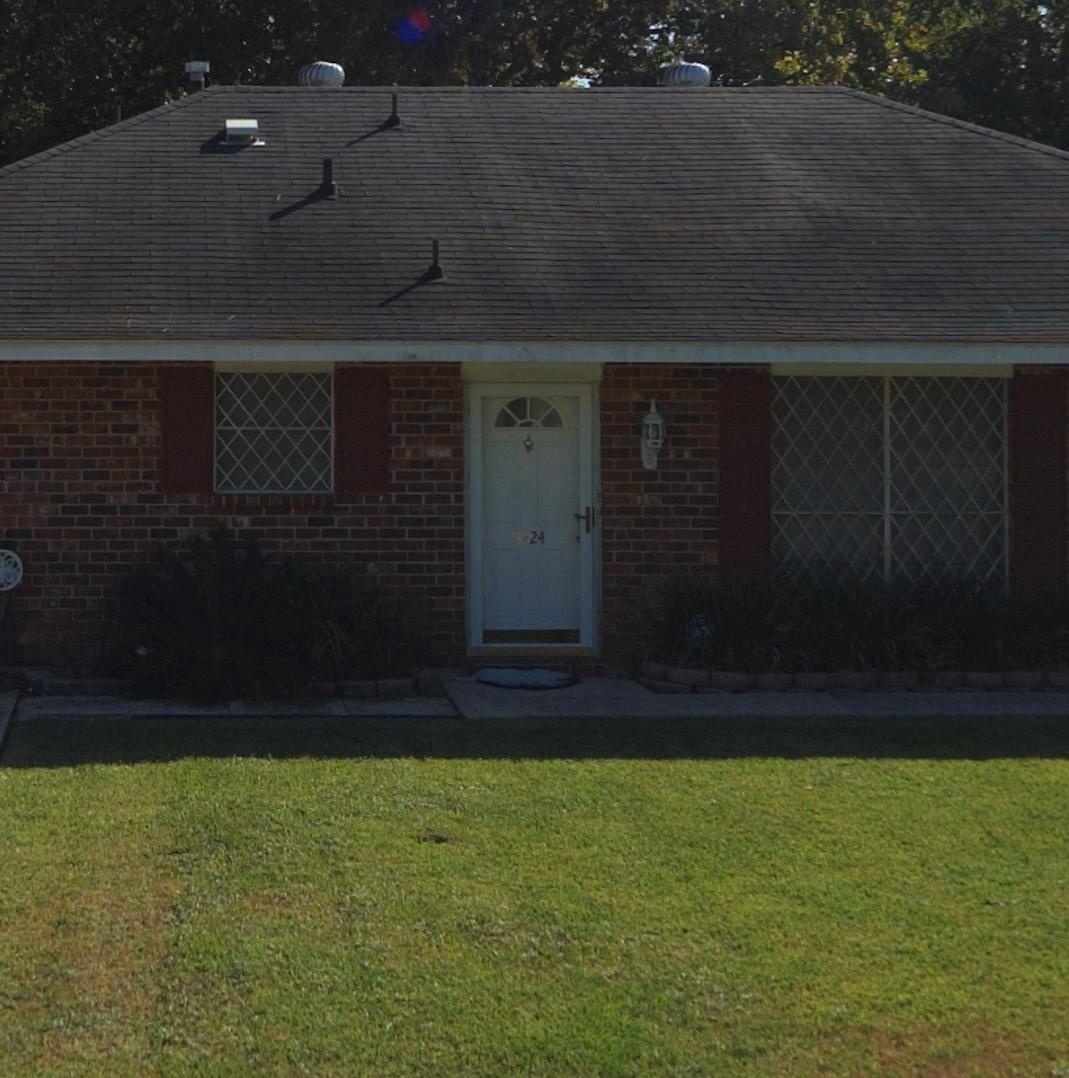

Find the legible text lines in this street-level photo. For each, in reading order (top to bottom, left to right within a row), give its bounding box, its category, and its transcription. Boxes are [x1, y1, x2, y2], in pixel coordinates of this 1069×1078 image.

[512, 529, 545, 546] StreetNumber: 3924